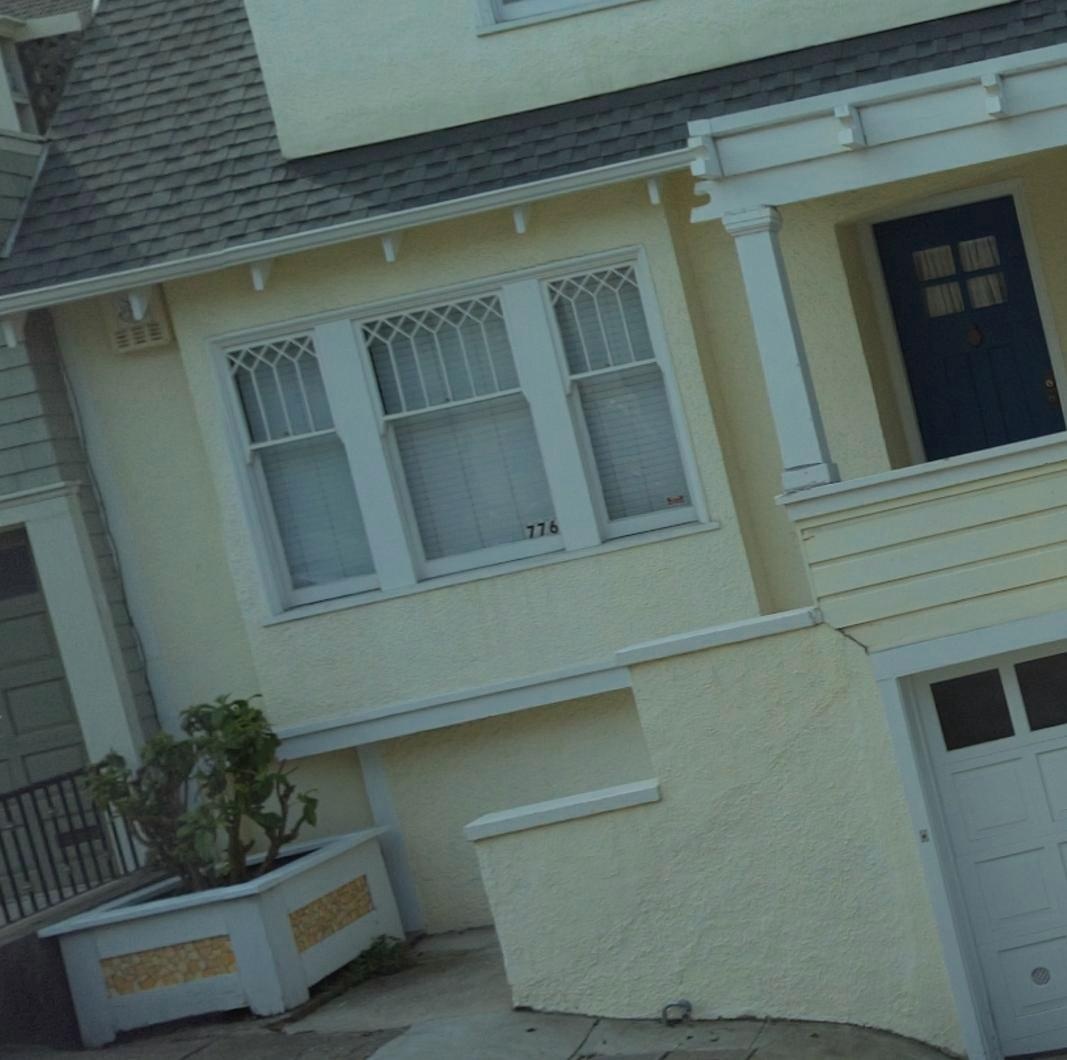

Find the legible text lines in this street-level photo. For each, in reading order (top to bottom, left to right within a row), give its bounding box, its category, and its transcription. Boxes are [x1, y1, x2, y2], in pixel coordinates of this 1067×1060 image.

[525, 518, 561, 540] StreetNumber: 776